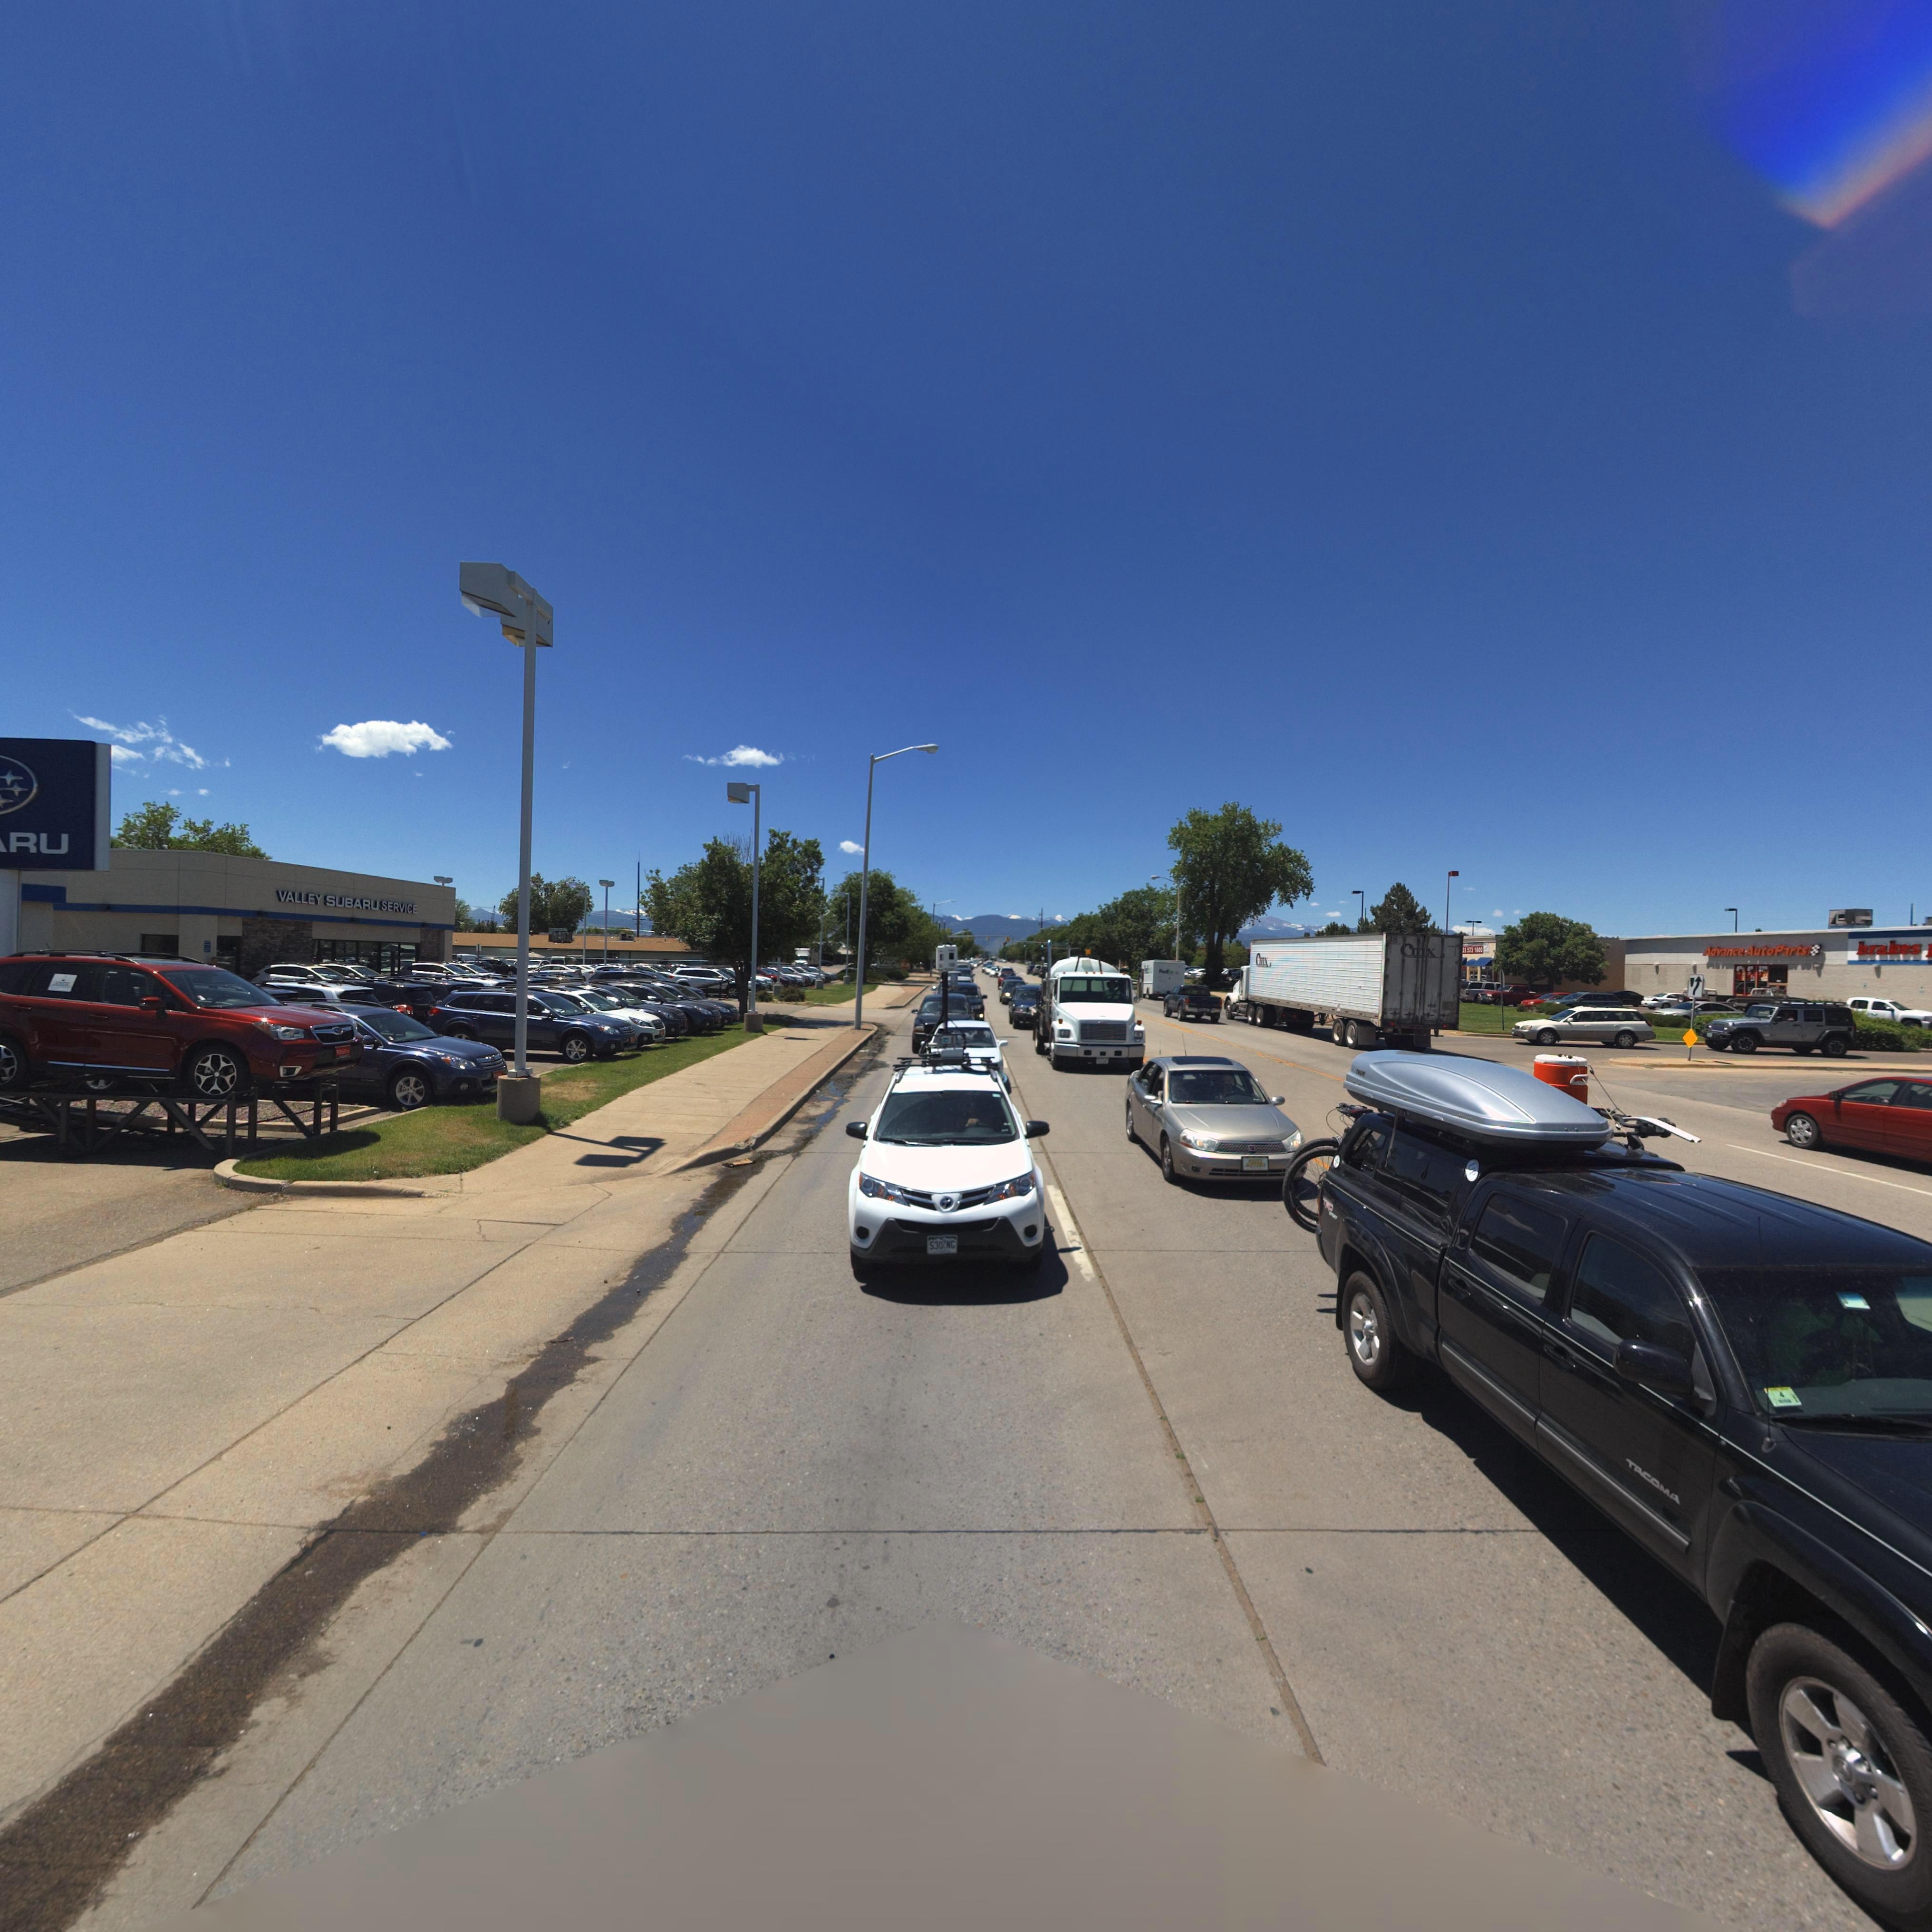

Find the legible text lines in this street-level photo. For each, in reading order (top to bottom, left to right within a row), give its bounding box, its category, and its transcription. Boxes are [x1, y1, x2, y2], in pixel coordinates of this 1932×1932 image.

[9, 831, 69, 854] BusinessName: RU
[275, 889, 418, 914] BusinessName: VALLEY SUBARU SERVICE
[1701, 944, 1810, 956] BusinessName: Advance AutoParts
[1855, 939, 1921, 956] BusinessName: brakes
[878, 956, 886, 965] BusinessName: V